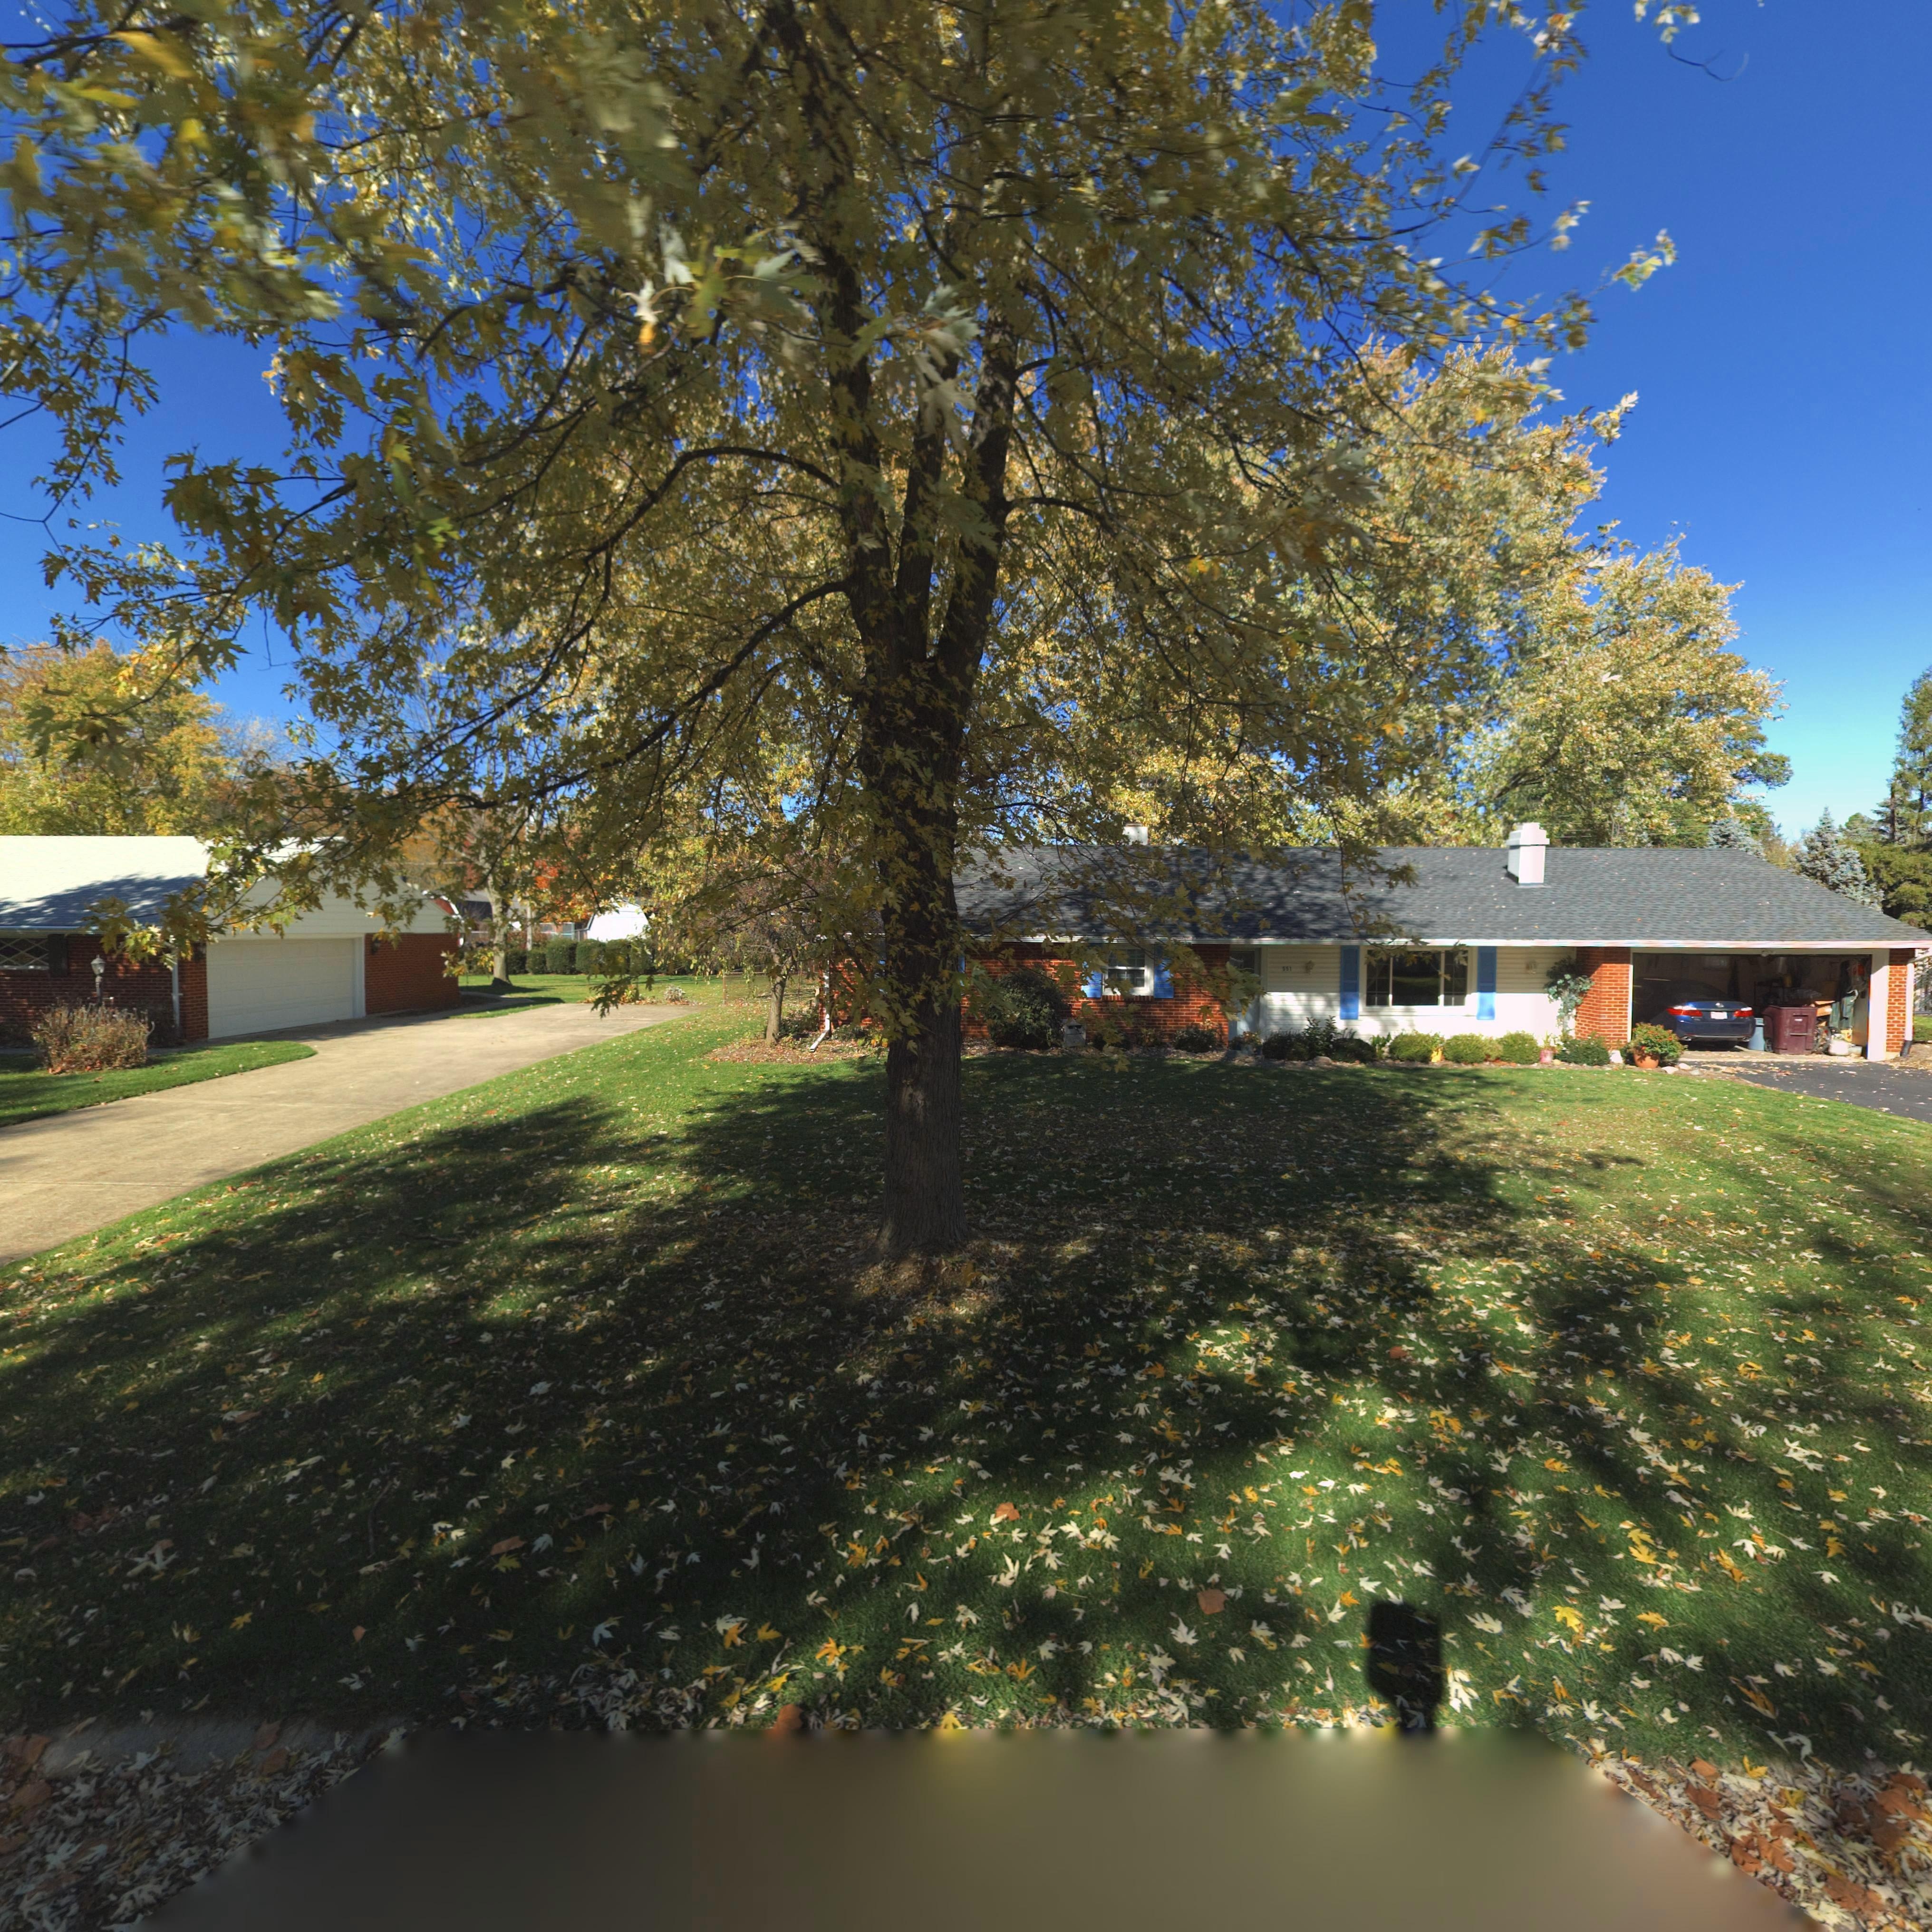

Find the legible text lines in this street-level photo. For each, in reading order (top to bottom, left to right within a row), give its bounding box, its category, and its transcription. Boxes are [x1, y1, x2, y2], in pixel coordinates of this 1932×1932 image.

[1282, 966, 1292, 971] StreetNumber: 551